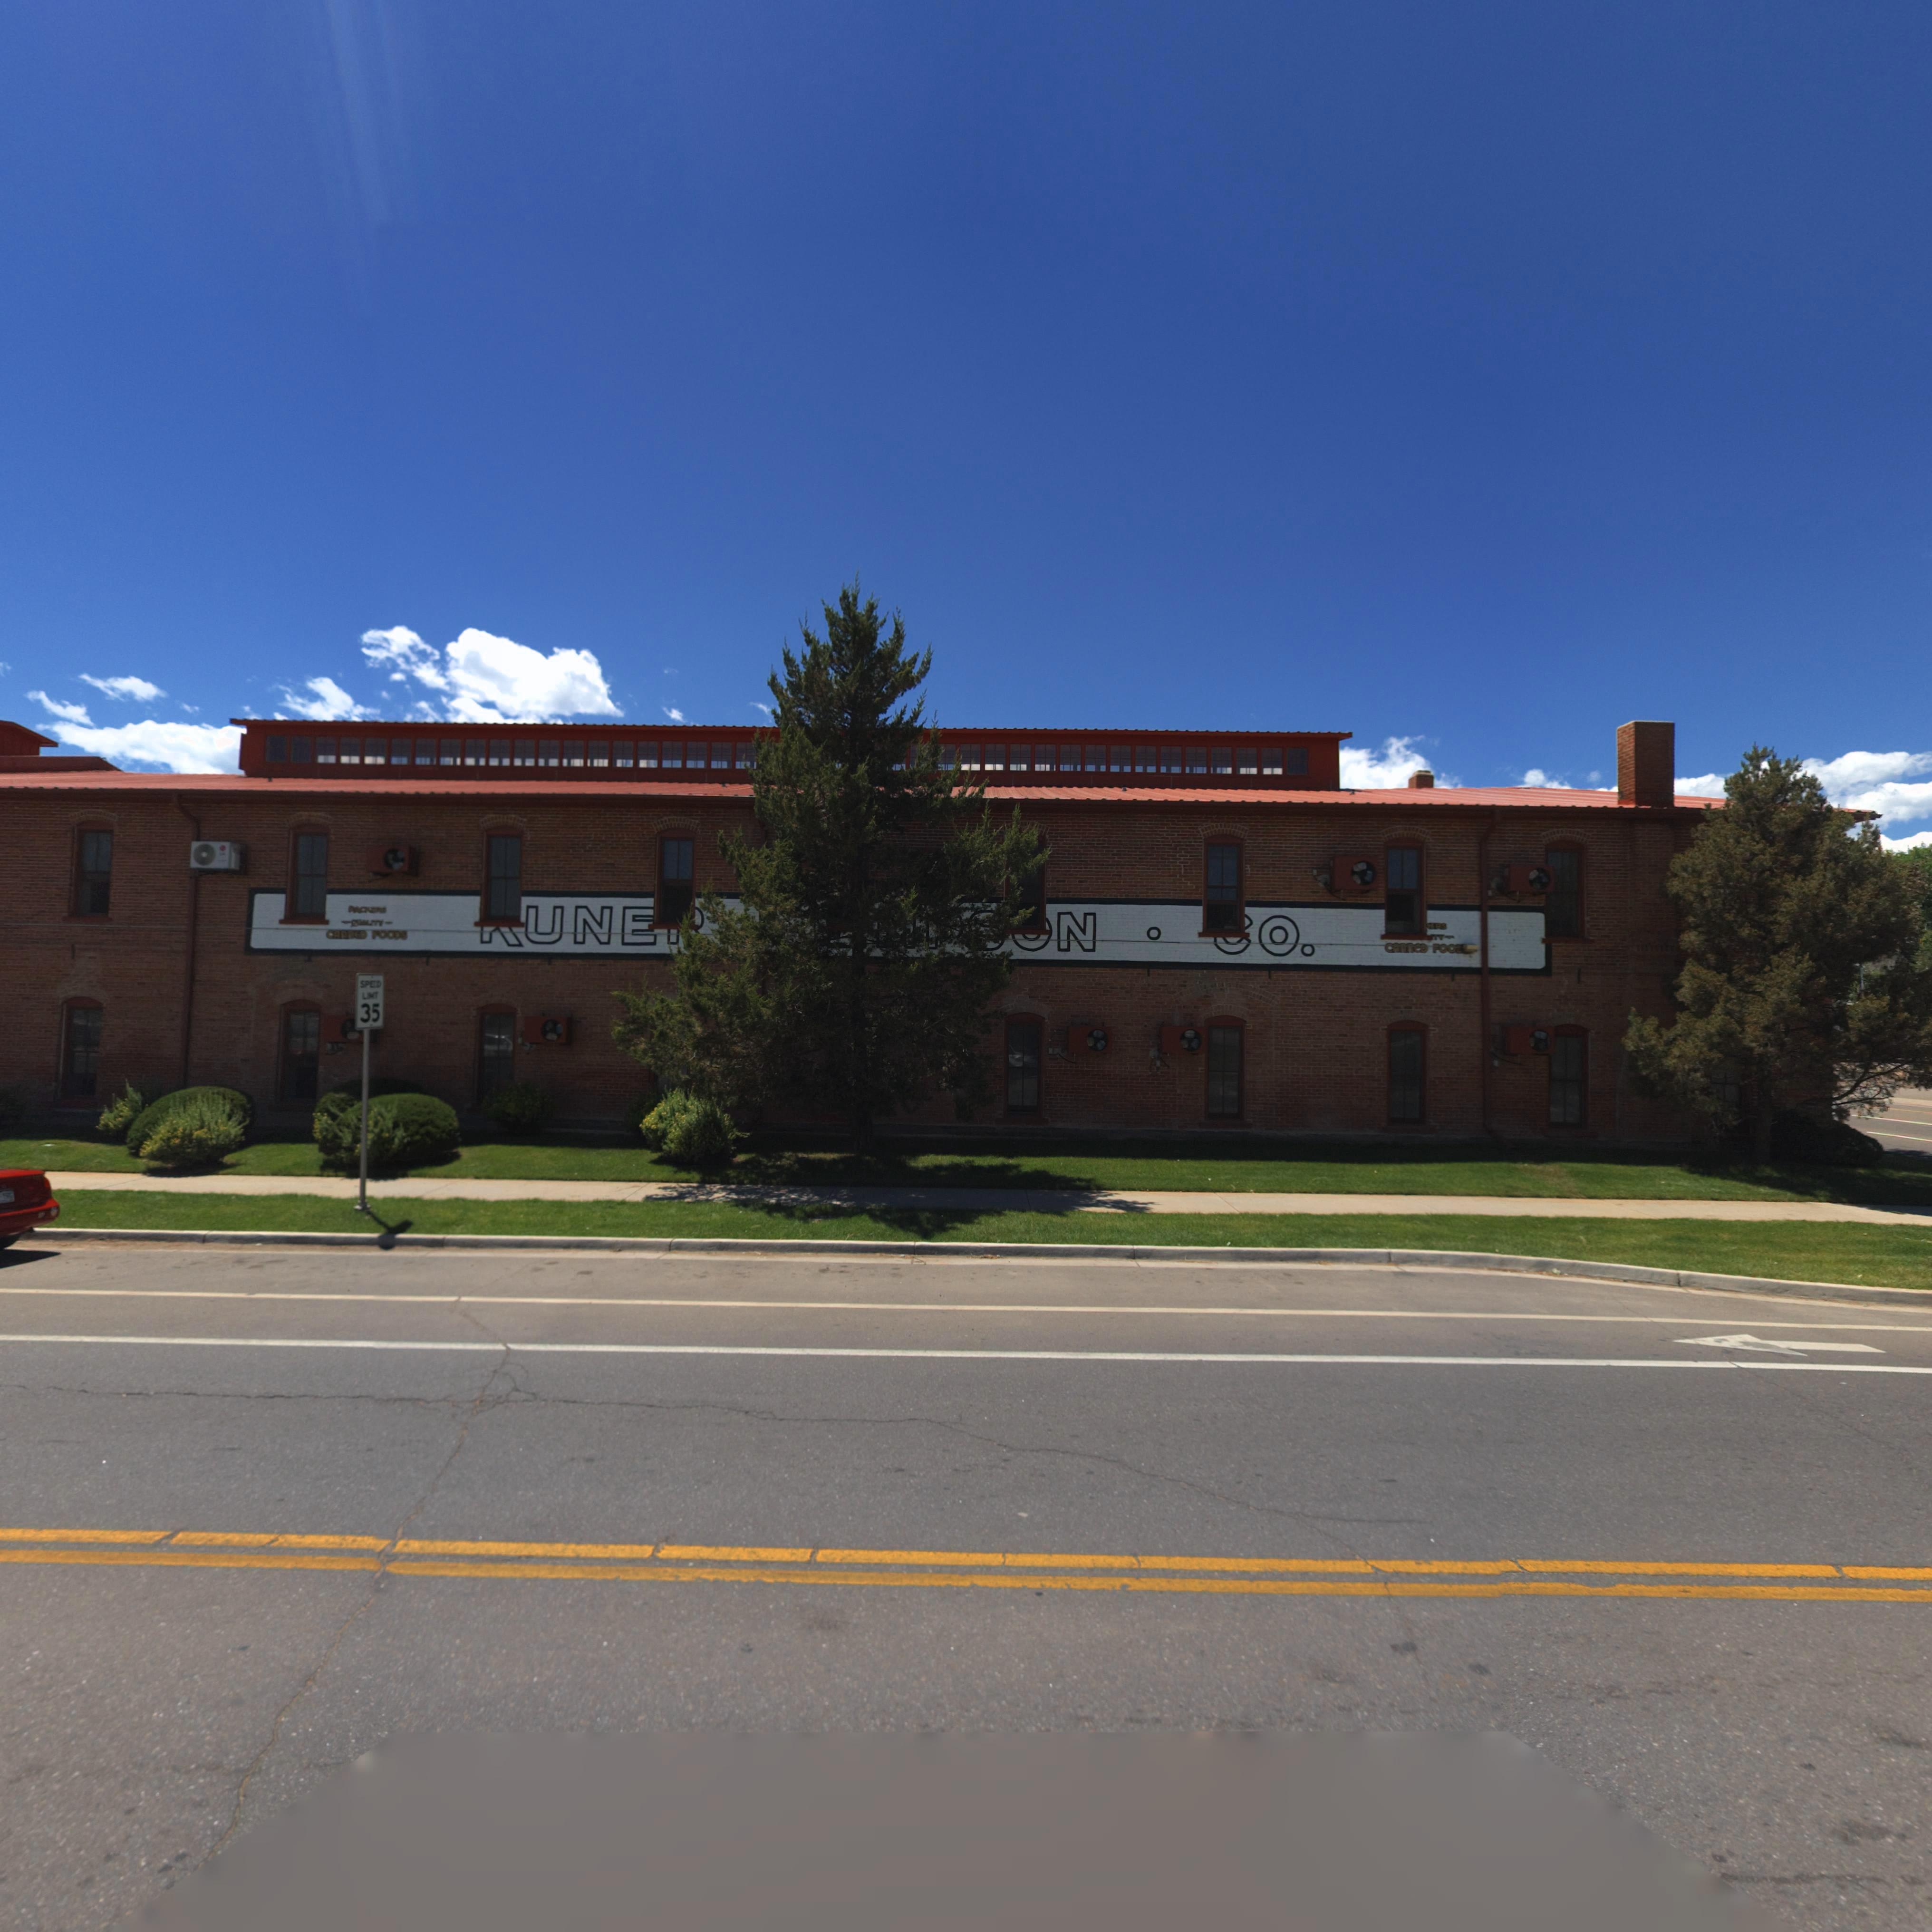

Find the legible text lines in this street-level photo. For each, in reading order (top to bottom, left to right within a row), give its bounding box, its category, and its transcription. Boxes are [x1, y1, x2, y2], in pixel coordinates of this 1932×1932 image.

[480, 903, 1316, 957] BusinessName: *UNE* *****N *O.